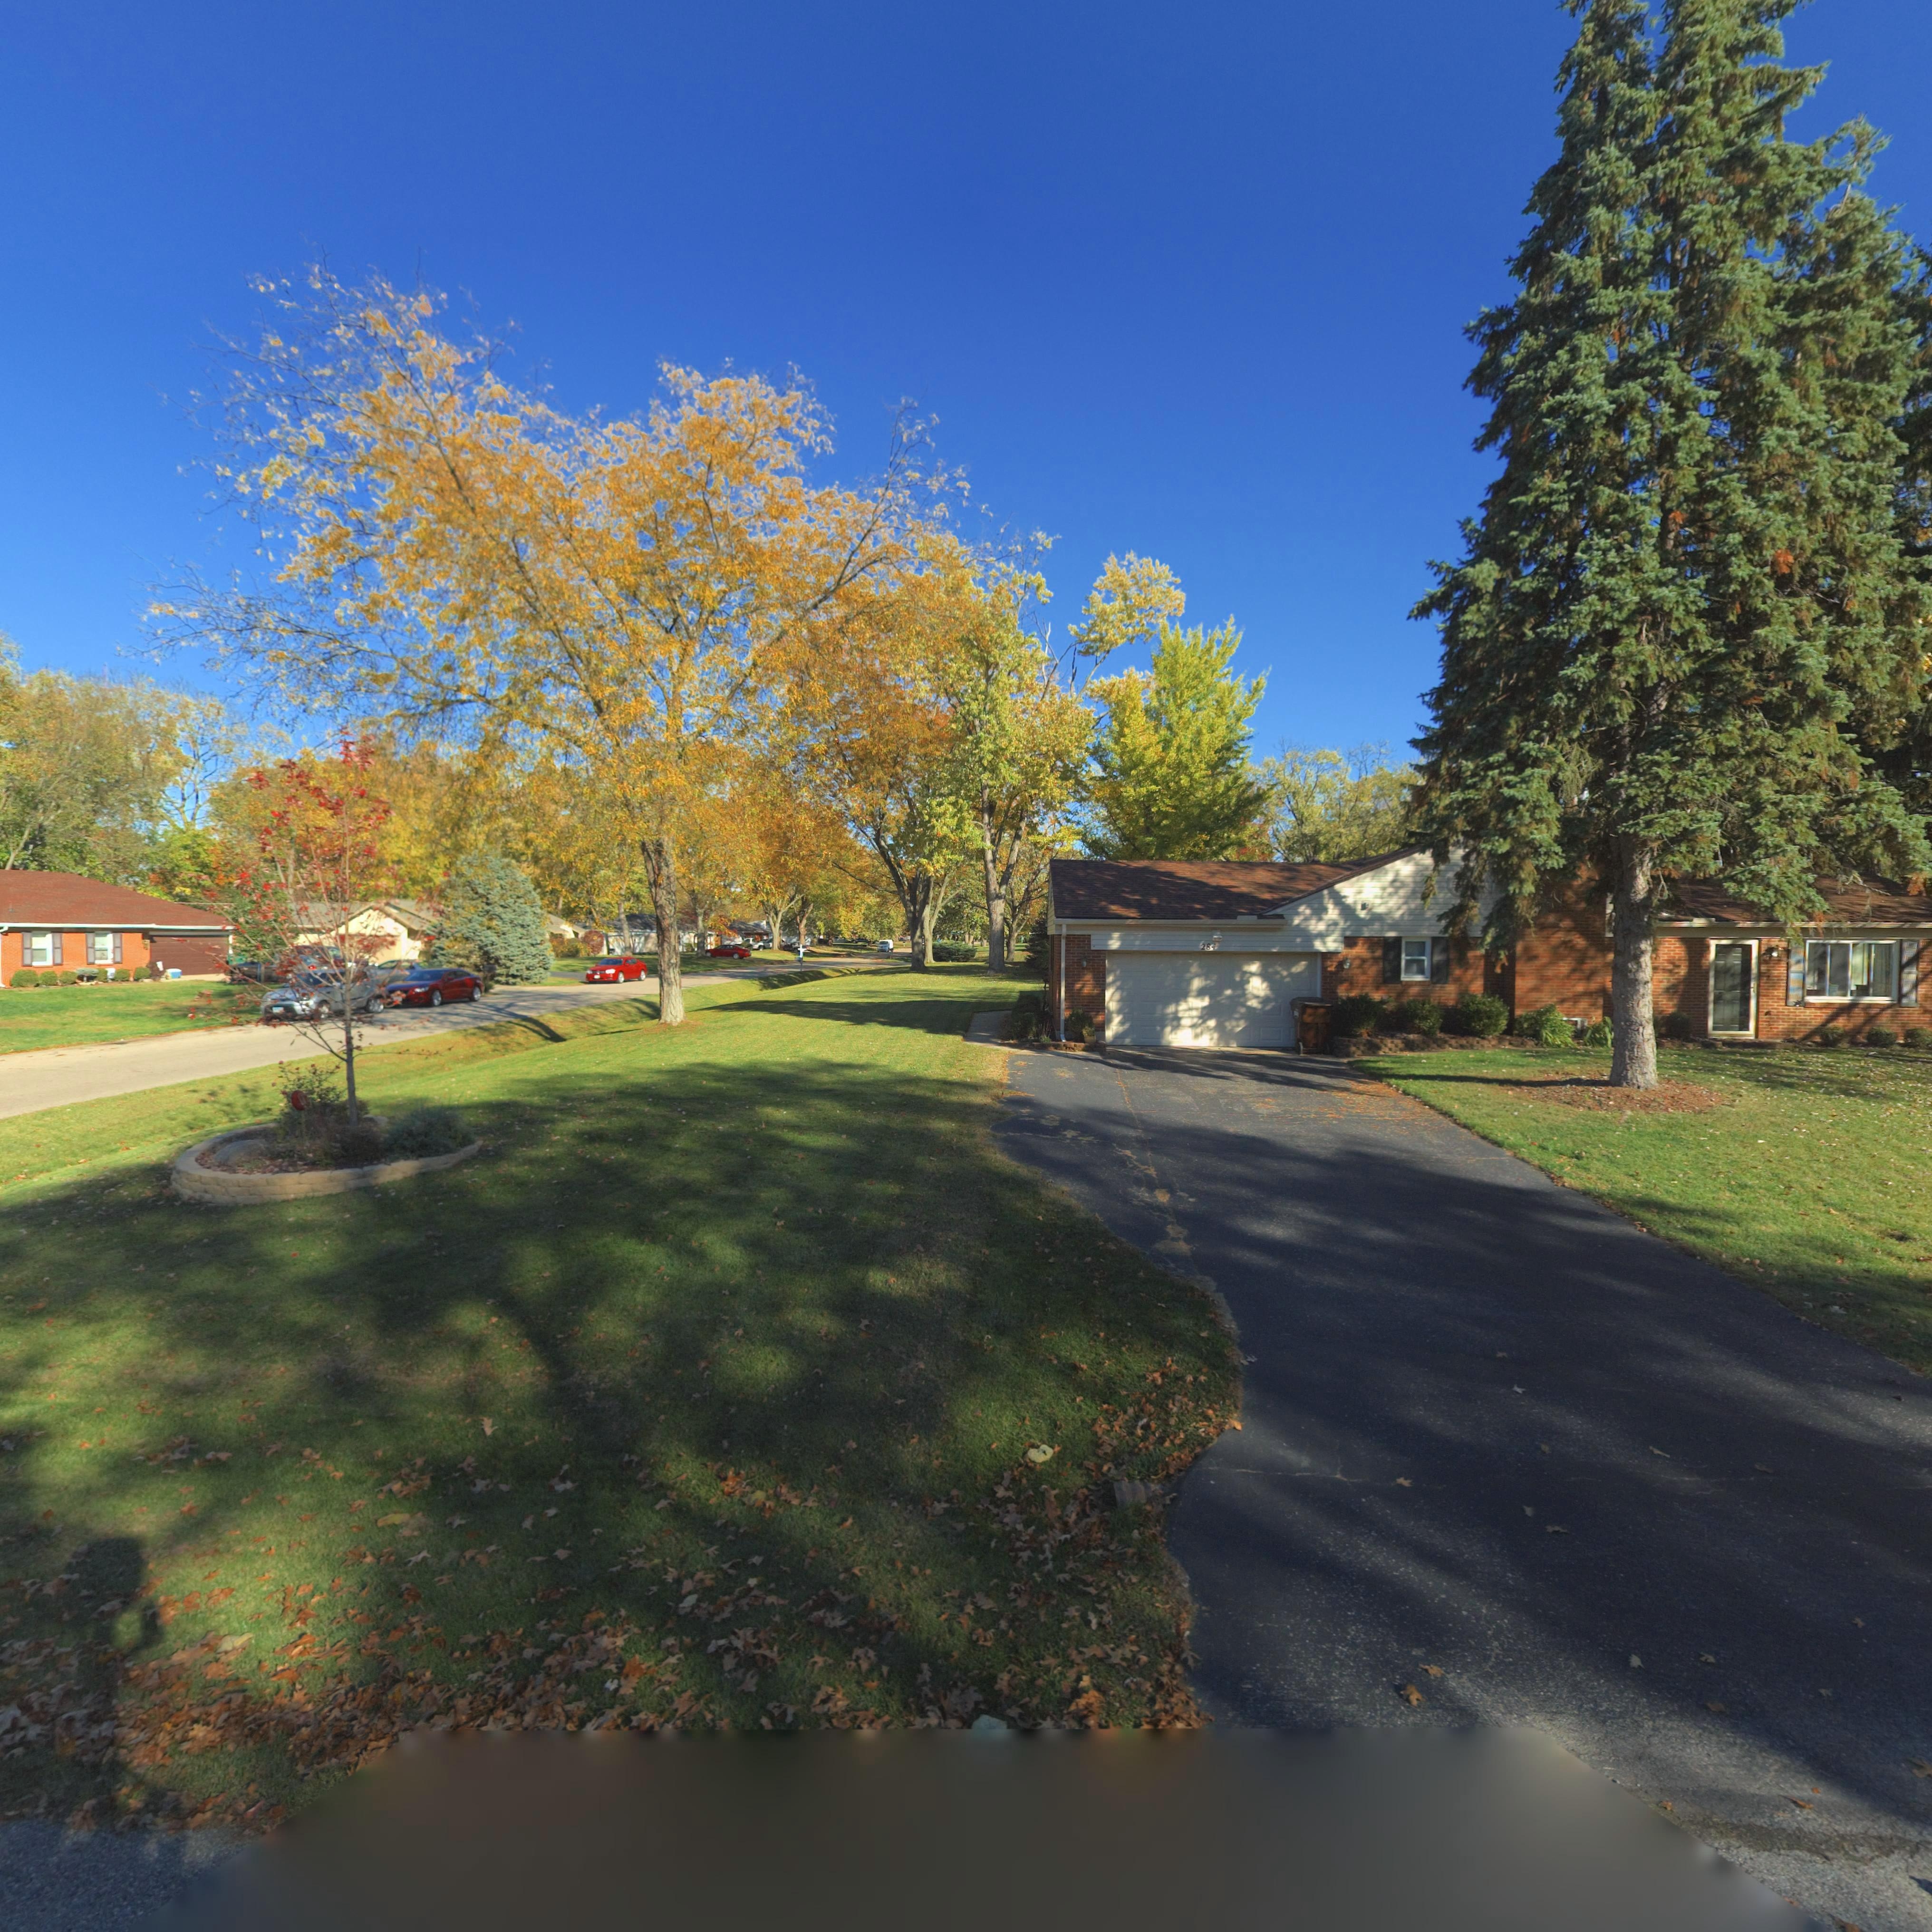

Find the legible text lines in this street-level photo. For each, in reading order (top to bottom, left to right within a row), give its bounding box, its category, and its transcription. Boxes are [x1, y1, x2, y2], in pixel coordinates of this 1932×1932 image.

[1200, 942, 1216, 951] StreetNumber: 284